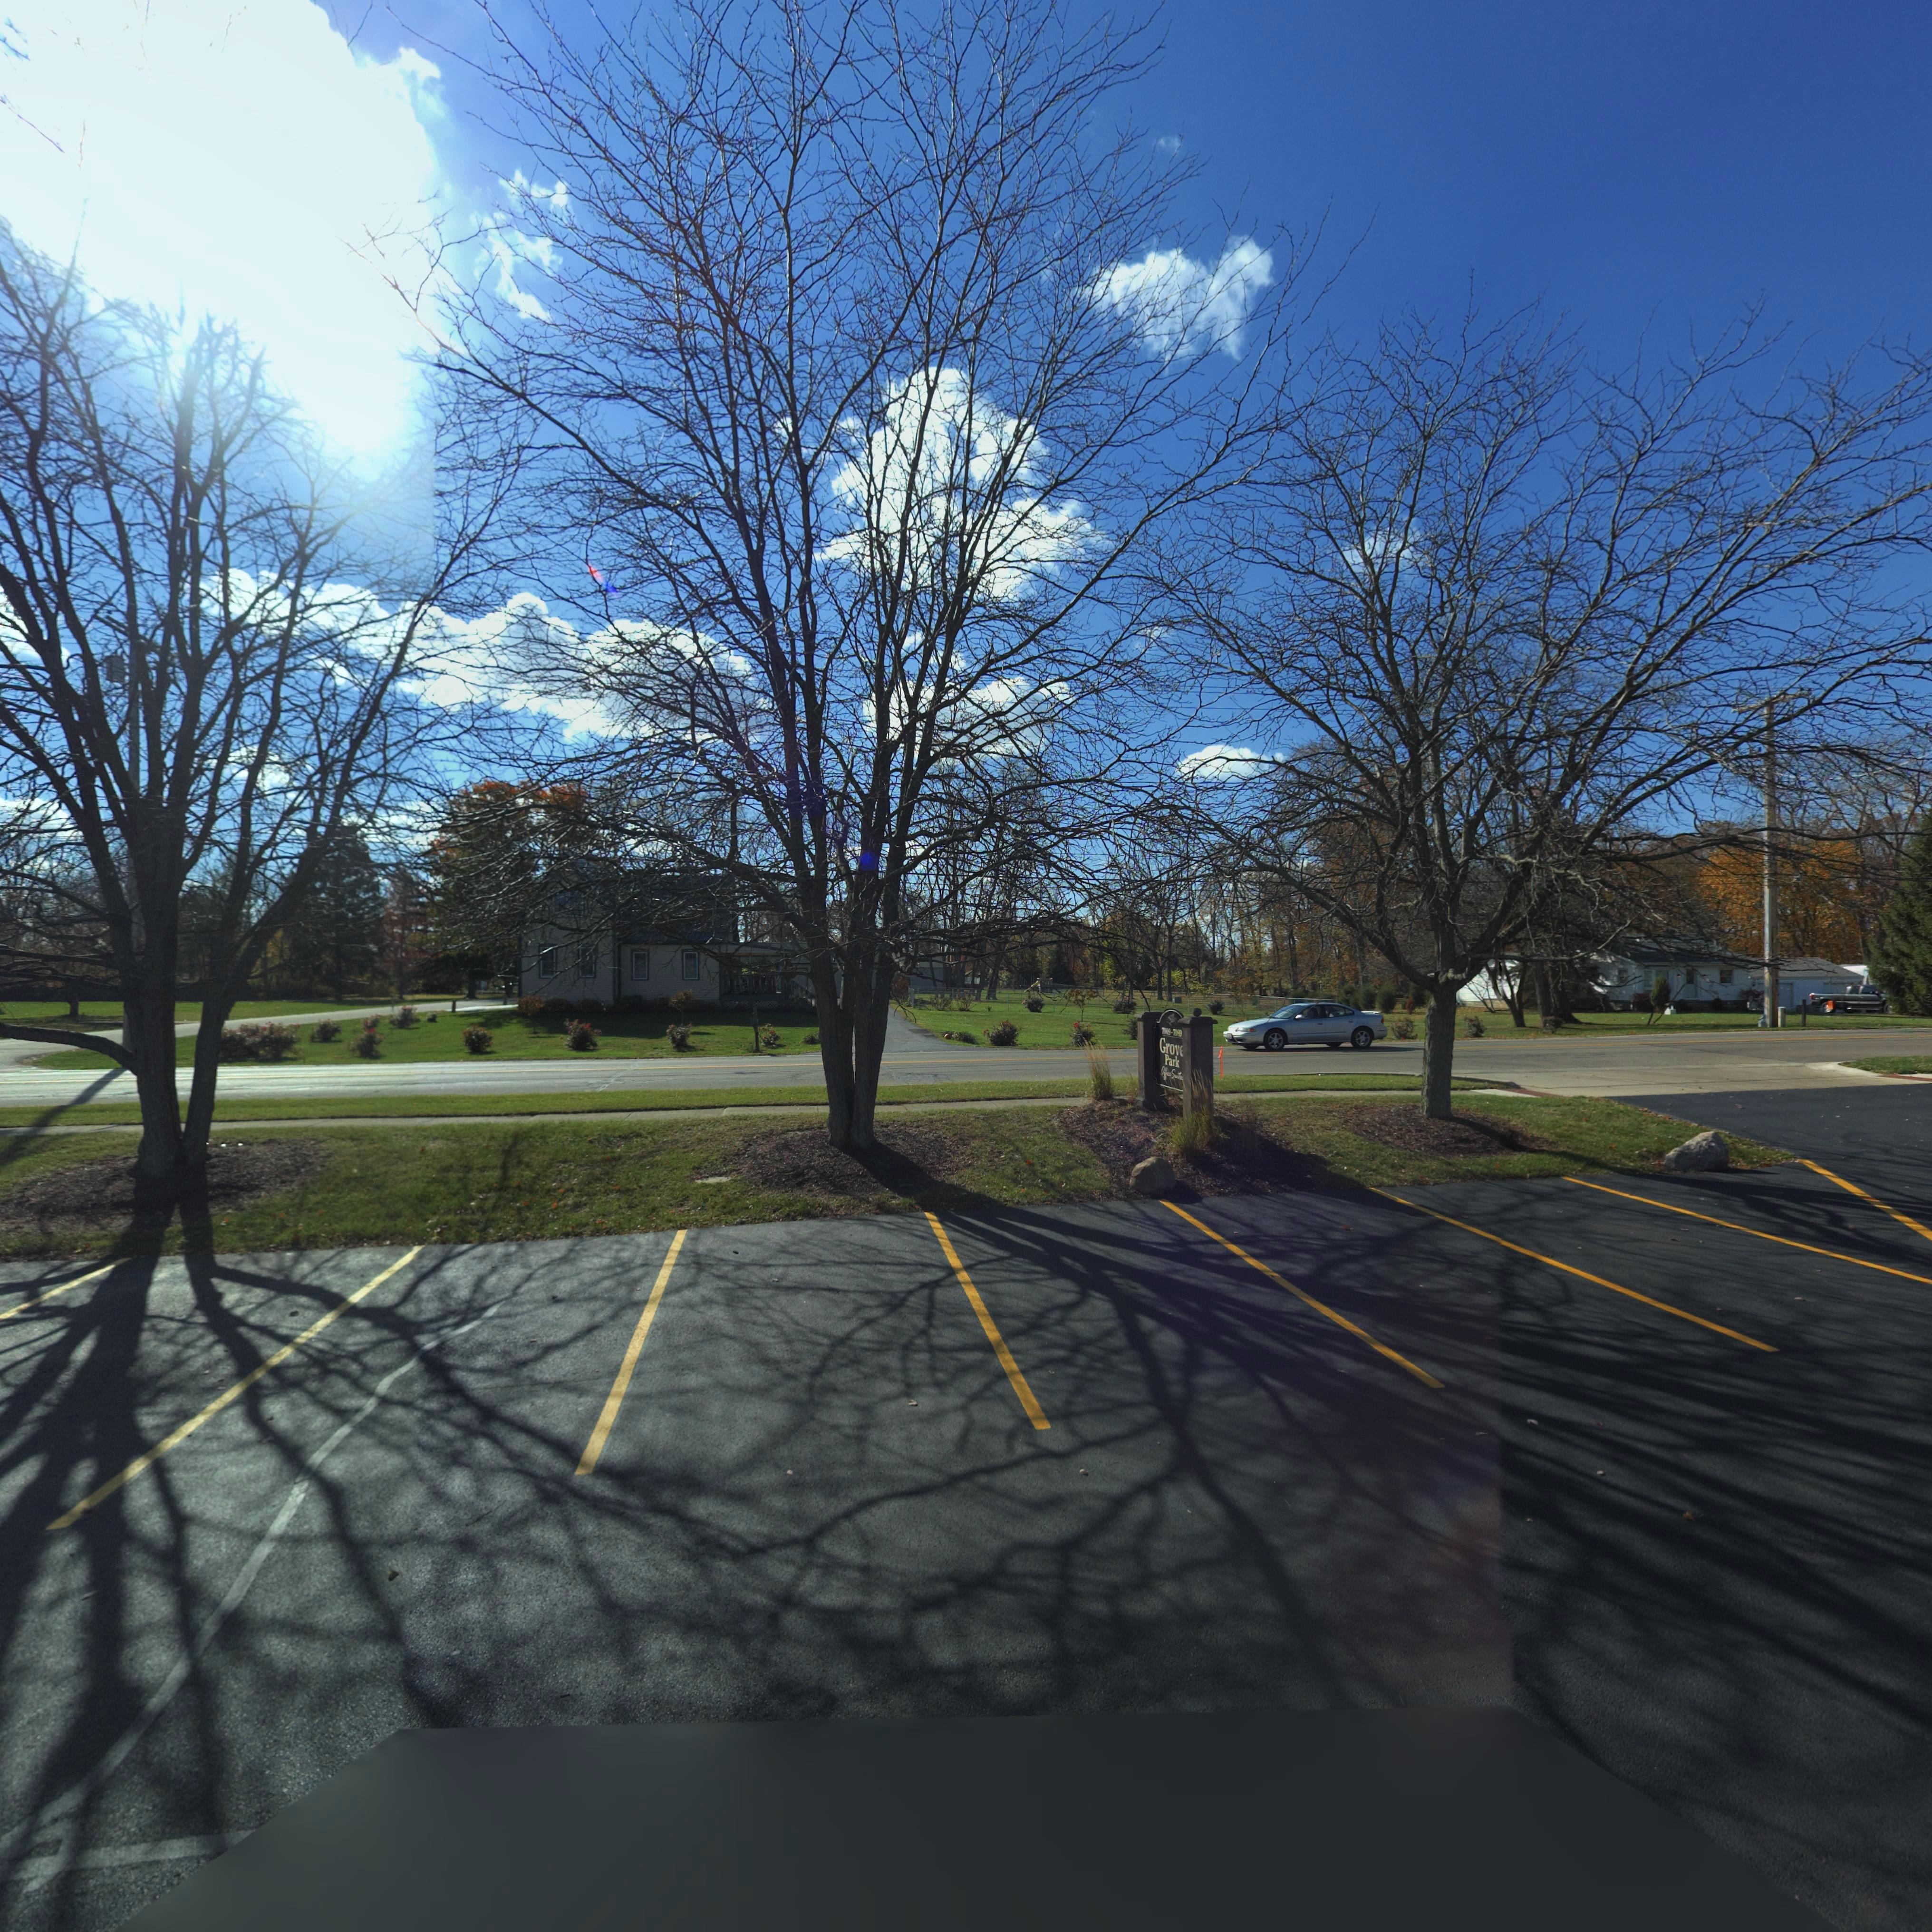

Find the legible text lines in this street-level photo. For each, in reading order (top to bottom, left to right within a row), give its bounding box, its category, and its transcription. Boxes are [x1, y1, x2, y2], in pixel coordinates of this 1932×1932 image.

[1161, 1025, 1172, 1037] StreetNumber: ***9
[1172, 1028, 1184, 1038] StreetNumber: 7**9